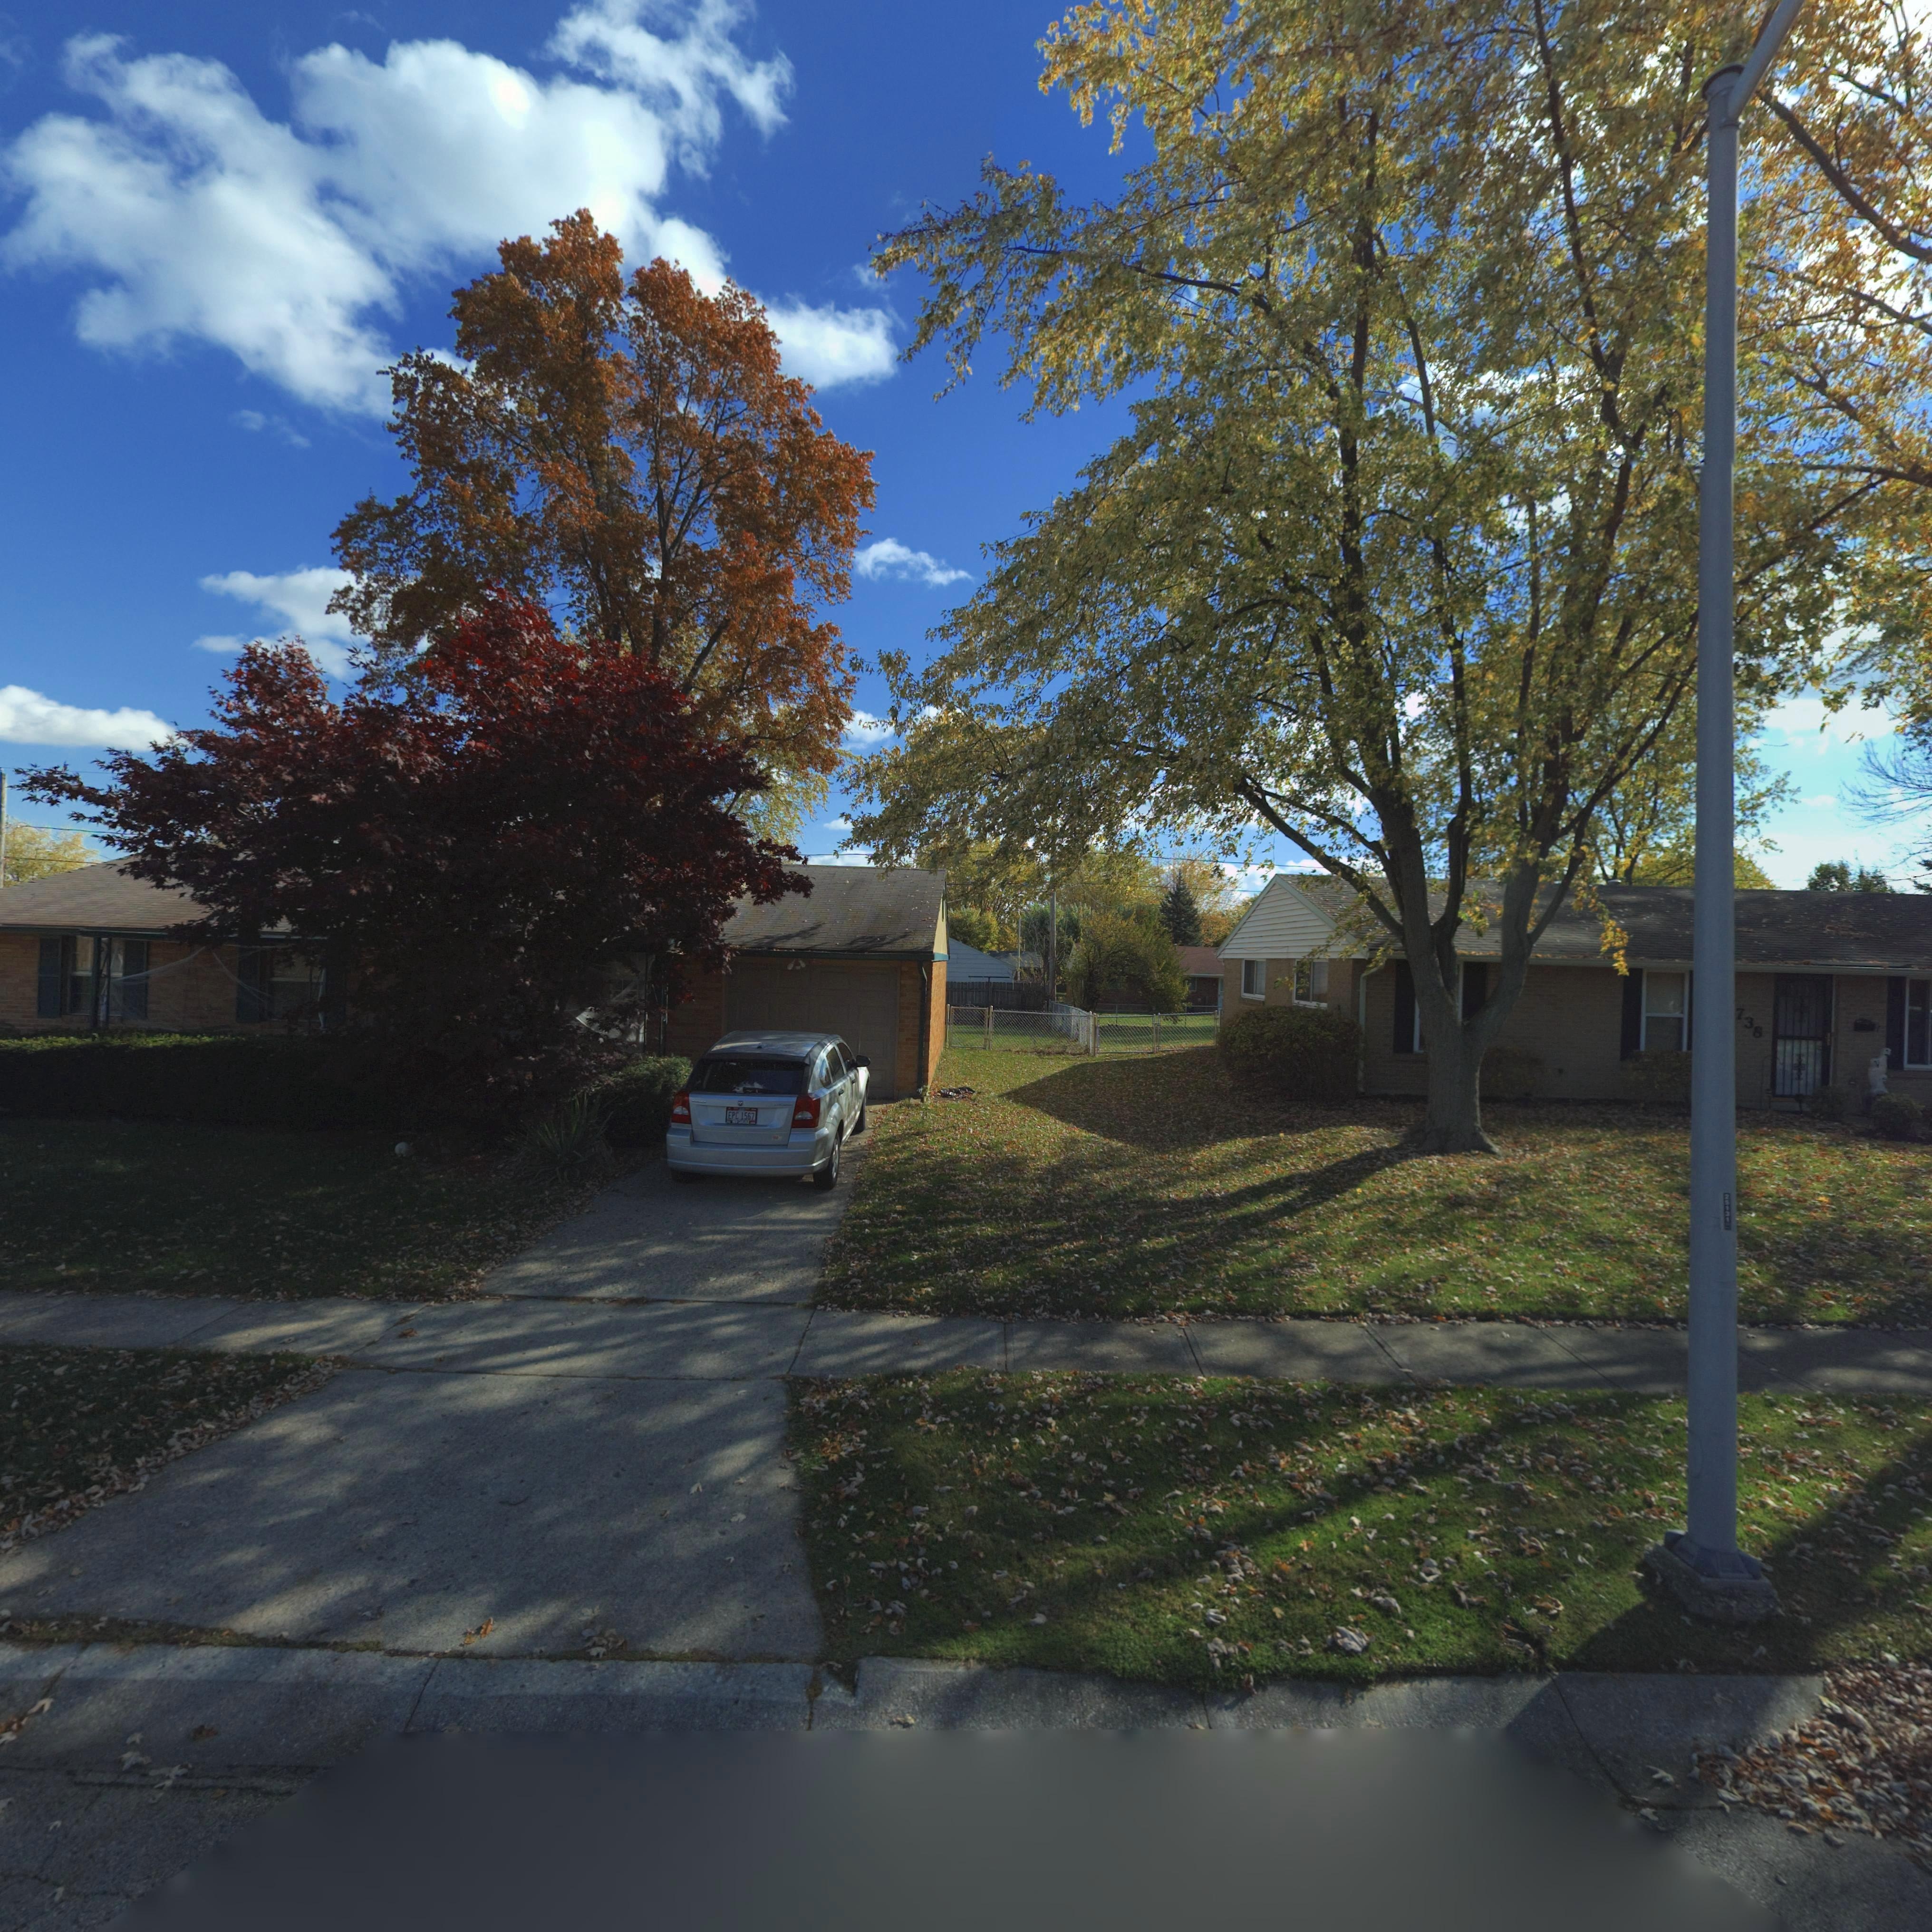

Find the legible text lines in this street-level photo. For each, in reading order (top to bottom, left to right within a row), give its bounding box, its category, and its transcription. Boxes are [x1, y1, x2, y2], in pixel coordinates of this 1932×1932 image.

[1735, 1007, 1764, 1040] StreetNumber: 738